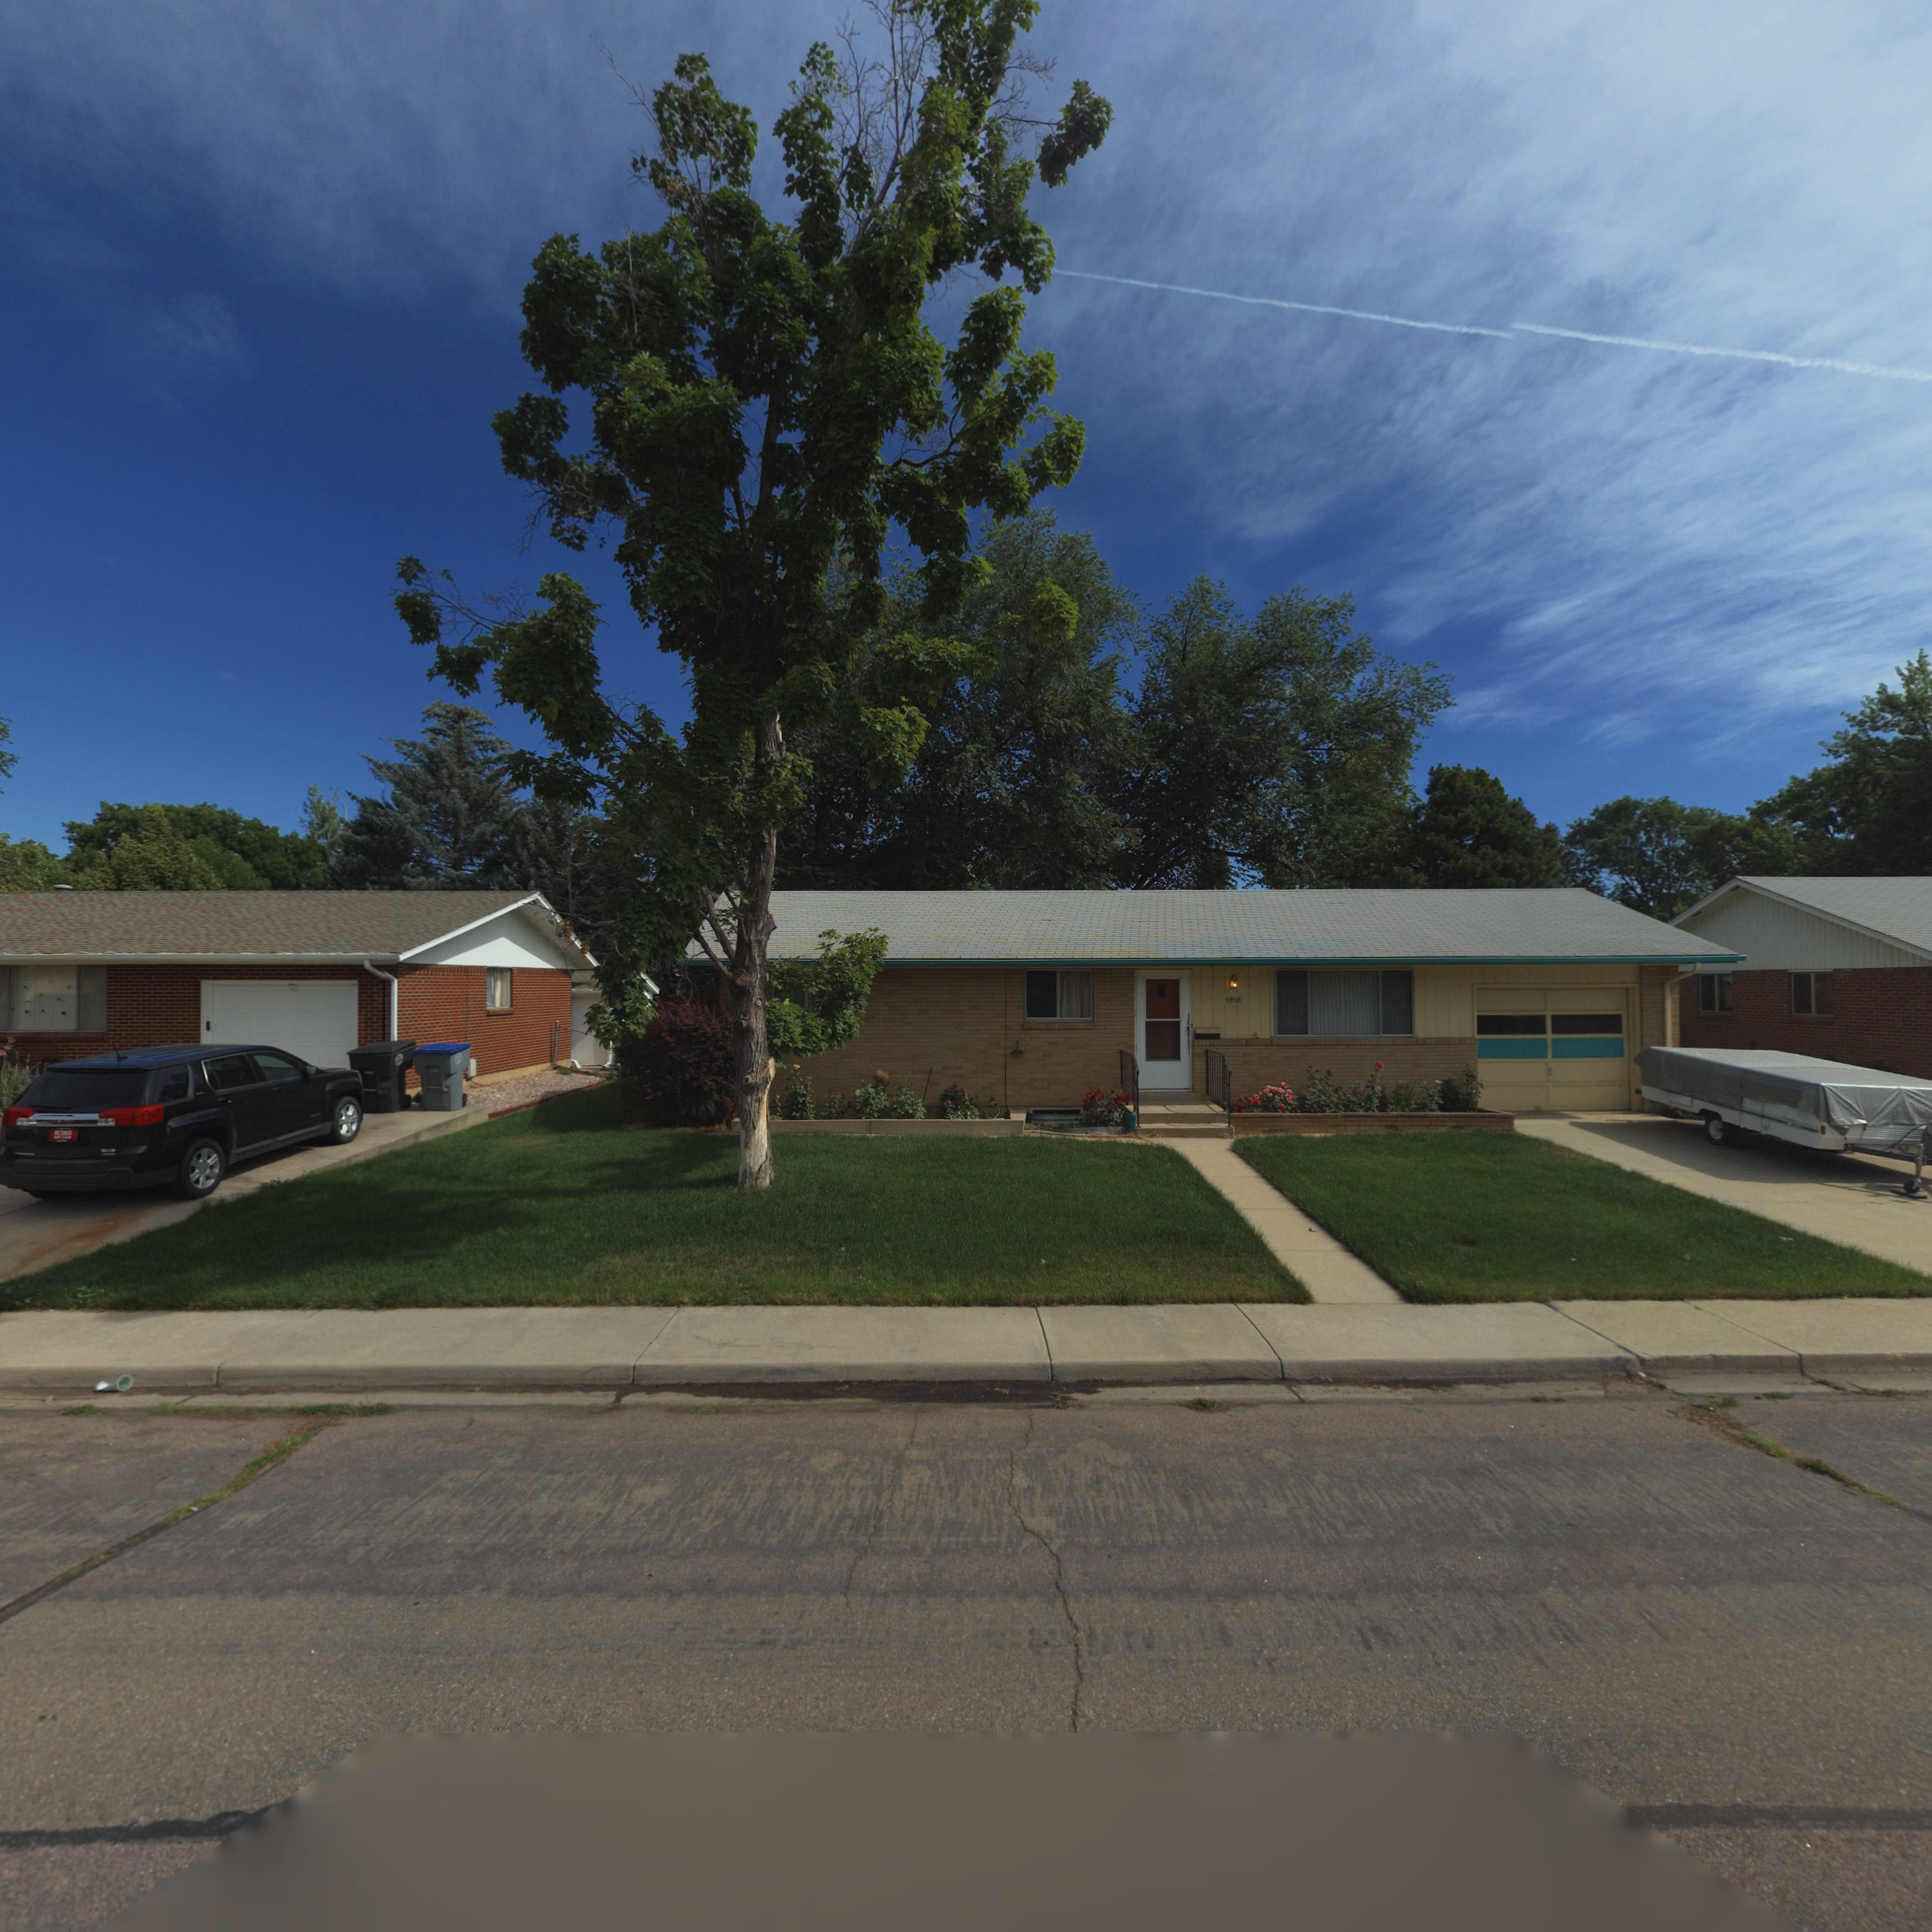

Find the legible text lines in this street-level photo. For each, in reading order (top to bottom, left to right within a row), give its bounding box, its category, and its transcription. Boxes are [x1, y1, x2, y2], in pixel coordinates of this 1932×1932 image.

[1225, 995, 1241, 1003] StreetNumber: 1016